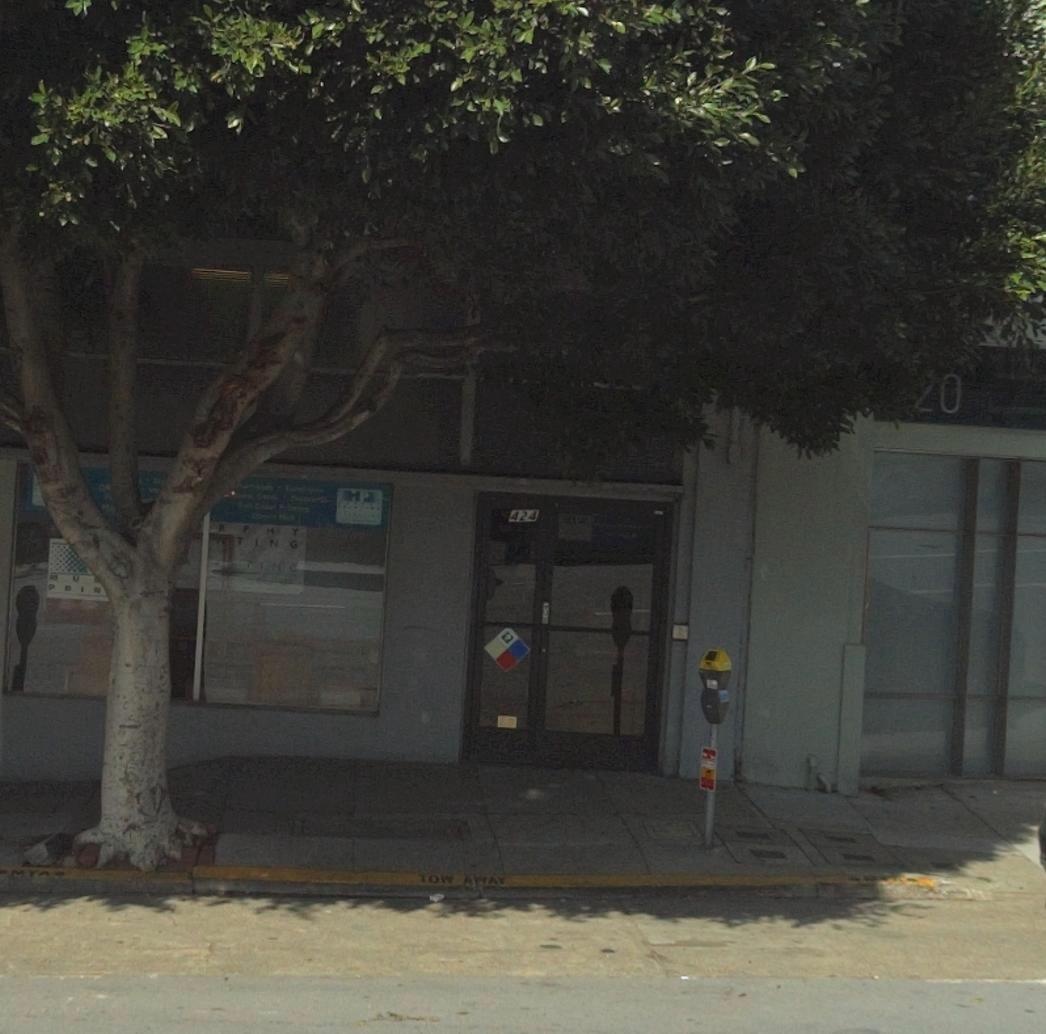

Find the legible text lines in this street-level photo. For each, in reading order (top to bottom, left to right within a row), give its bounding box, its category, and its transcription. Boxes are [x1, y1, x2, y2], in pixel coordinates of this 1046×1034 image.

[936, 366, 965, 423] None: O
[345, 487, 362, 504] None: H
[509, 507, 541, 524] StreetNumber: 424
[215, 521, 301, 538] None: RPHY
[235, 535, 300, 551] None: TING
[255, 559, 284, 573] None: IN
[47, 571, 83, 585] None: MU
[45, 581, 103, 597] None: PRIN
[416, 872, 509, 890] None: TOW AWAY